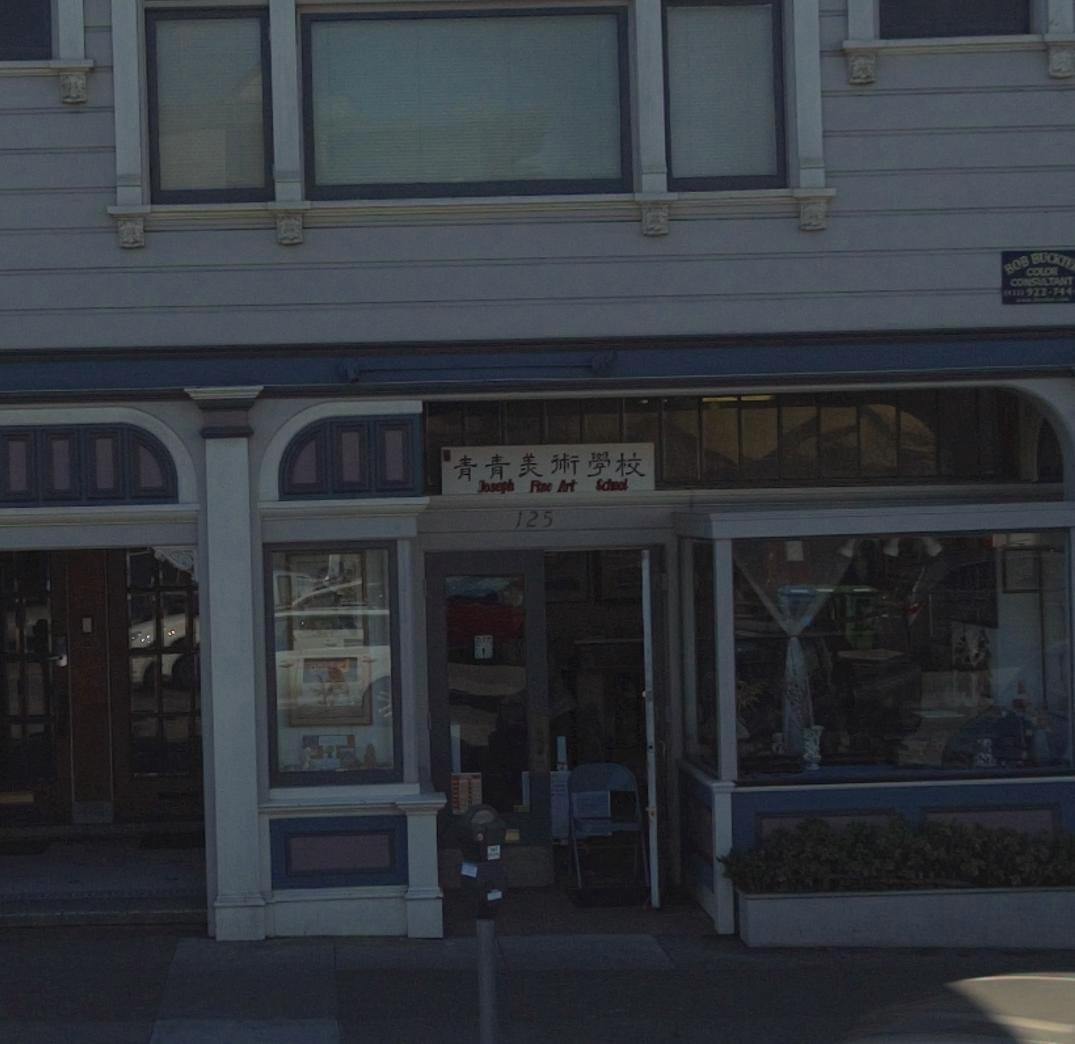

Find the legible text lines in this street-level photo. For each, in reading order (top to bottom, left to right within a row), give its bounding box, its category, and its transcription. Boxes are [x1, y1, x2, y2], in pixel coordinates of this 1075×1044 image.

[1000, 251, 1074, 276] None: BOB BUCKTE
[1007, 275, 1074, 288] None: CONSULTANT
[1026, 266, 1059, 277] None: COLOR
[1025, 285, 1072, 298] None: 922-*44
[476, 475, 629, 496] BusinessName: Joseph Fine Art School
[513, 506, 556, 531] StreetNumber: 125